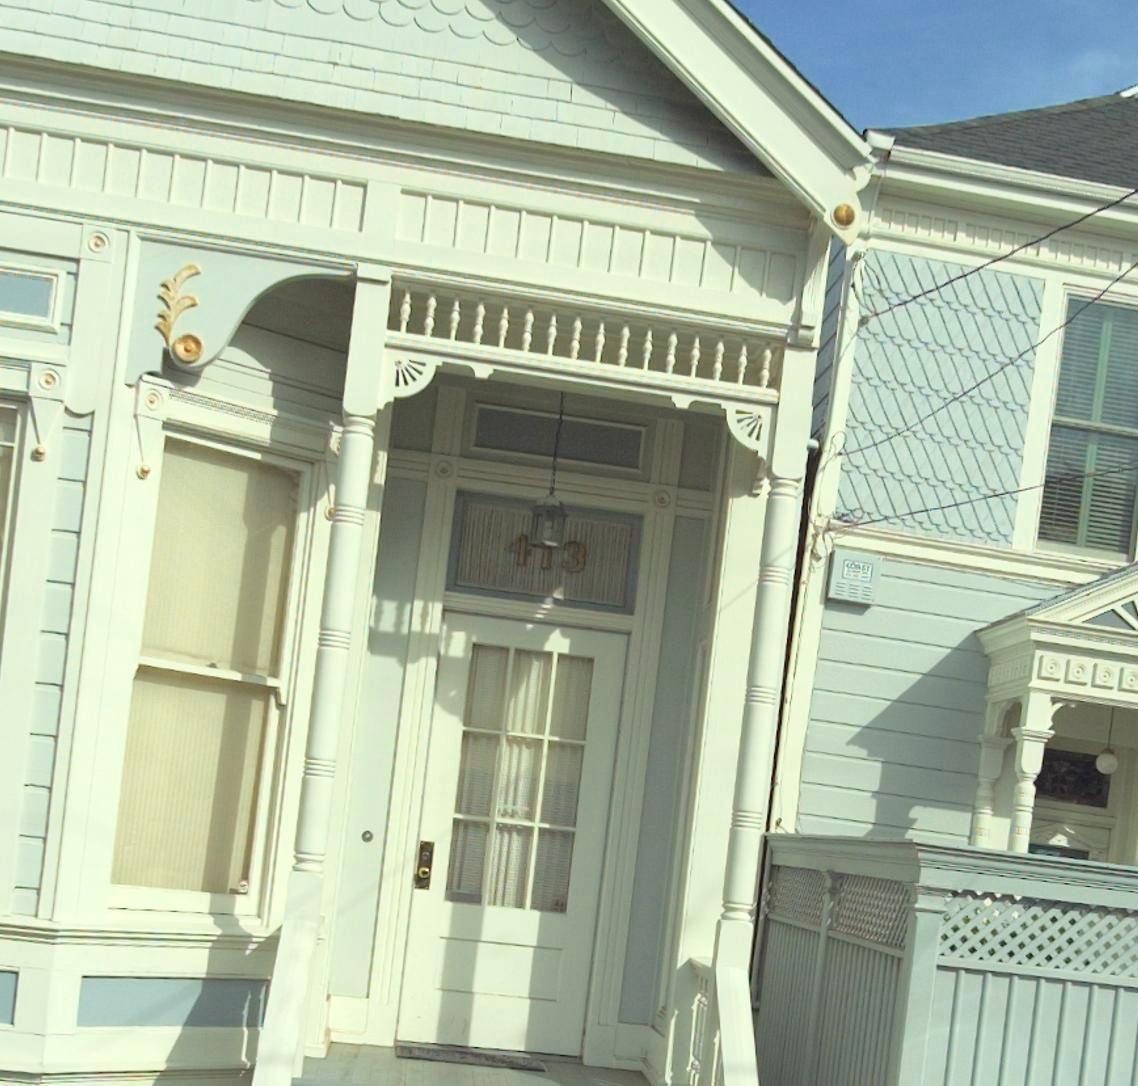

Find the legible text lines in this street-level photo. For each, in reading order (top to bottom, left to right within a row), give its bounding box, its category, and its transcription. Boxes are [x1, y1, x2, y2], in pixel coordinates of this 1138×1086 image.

[502, 531, 588, 575] StreetNumber: 413